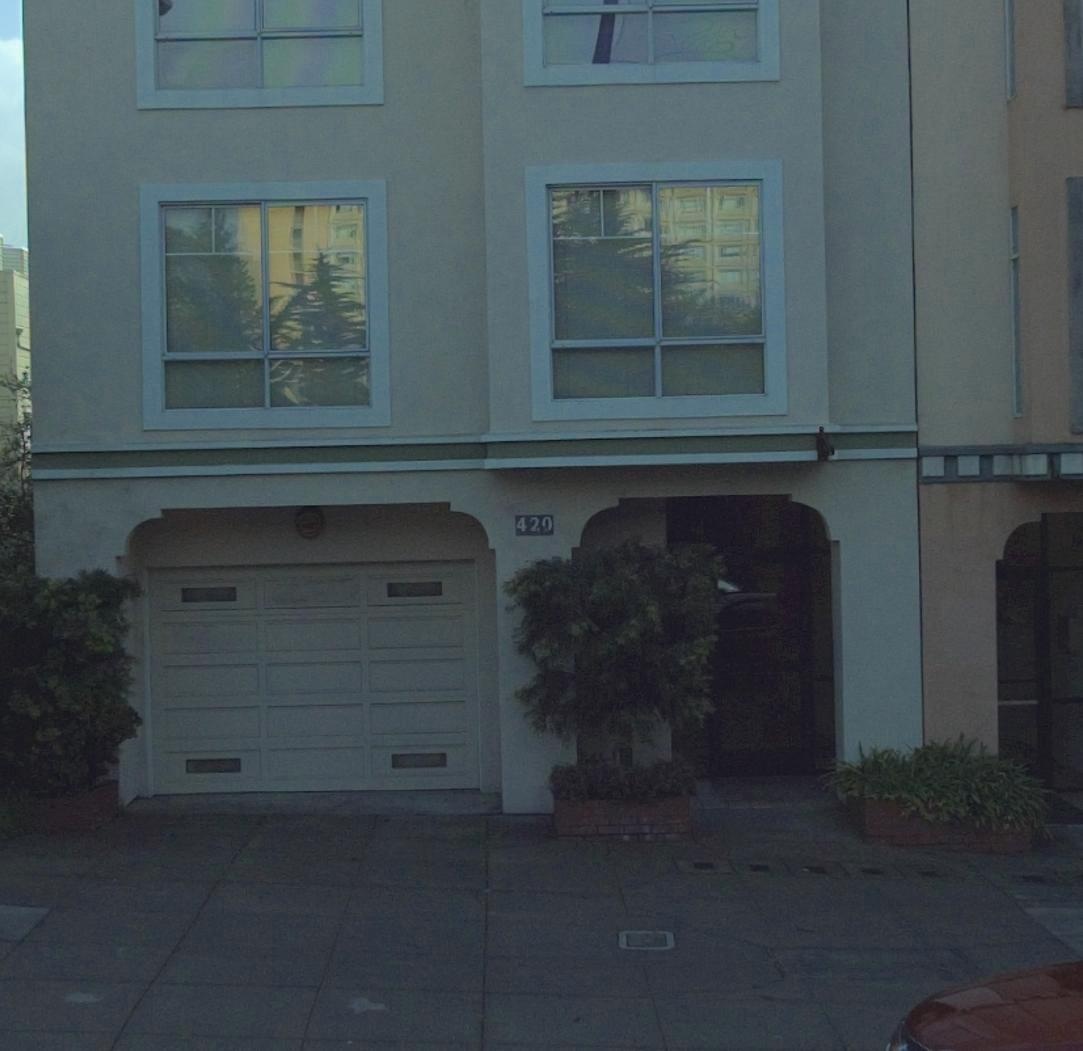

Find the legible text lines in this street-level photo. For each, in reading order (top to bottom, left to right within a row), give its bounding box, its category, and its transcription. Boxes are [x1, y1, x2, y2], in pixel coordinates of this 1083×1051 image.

[514, 514, 554, 536] StreetNumber: 42*